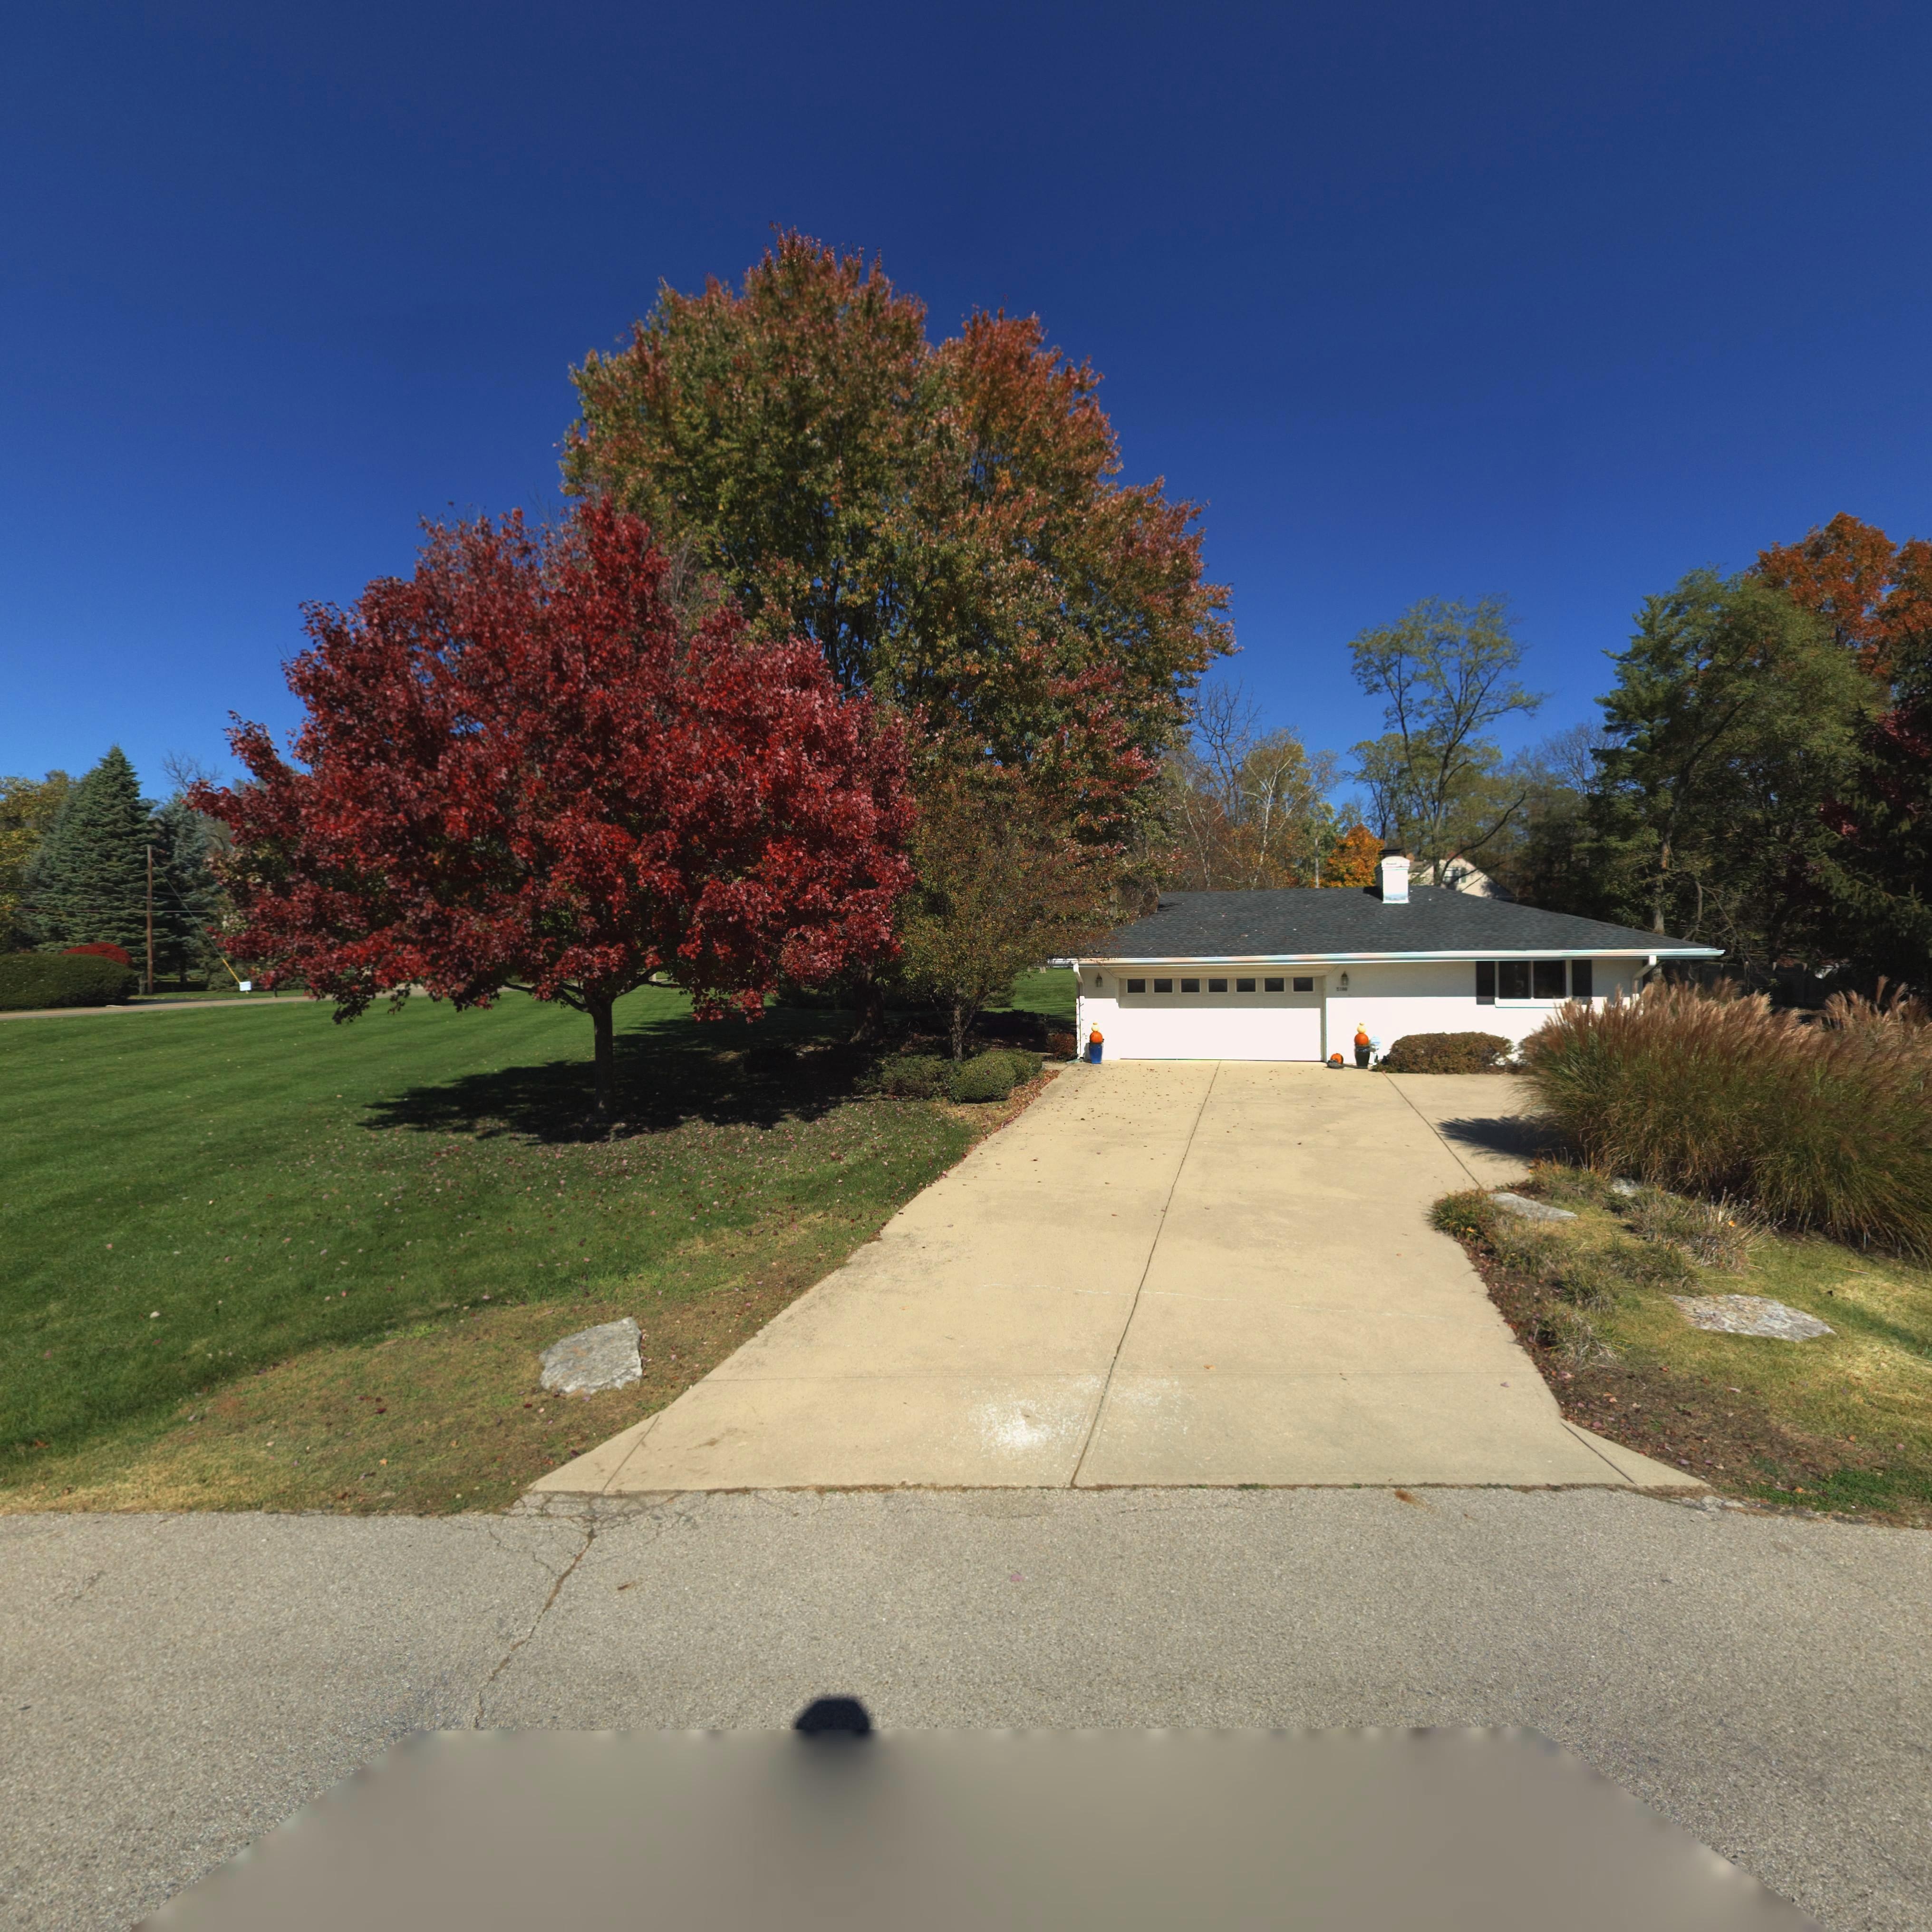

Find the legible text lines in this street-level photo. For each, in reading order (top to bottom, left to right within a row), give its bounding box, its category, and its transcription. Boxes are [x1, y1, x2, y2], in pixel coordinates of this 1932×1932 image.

[1335, 986, 1348, 992] StreetNumber: 5***